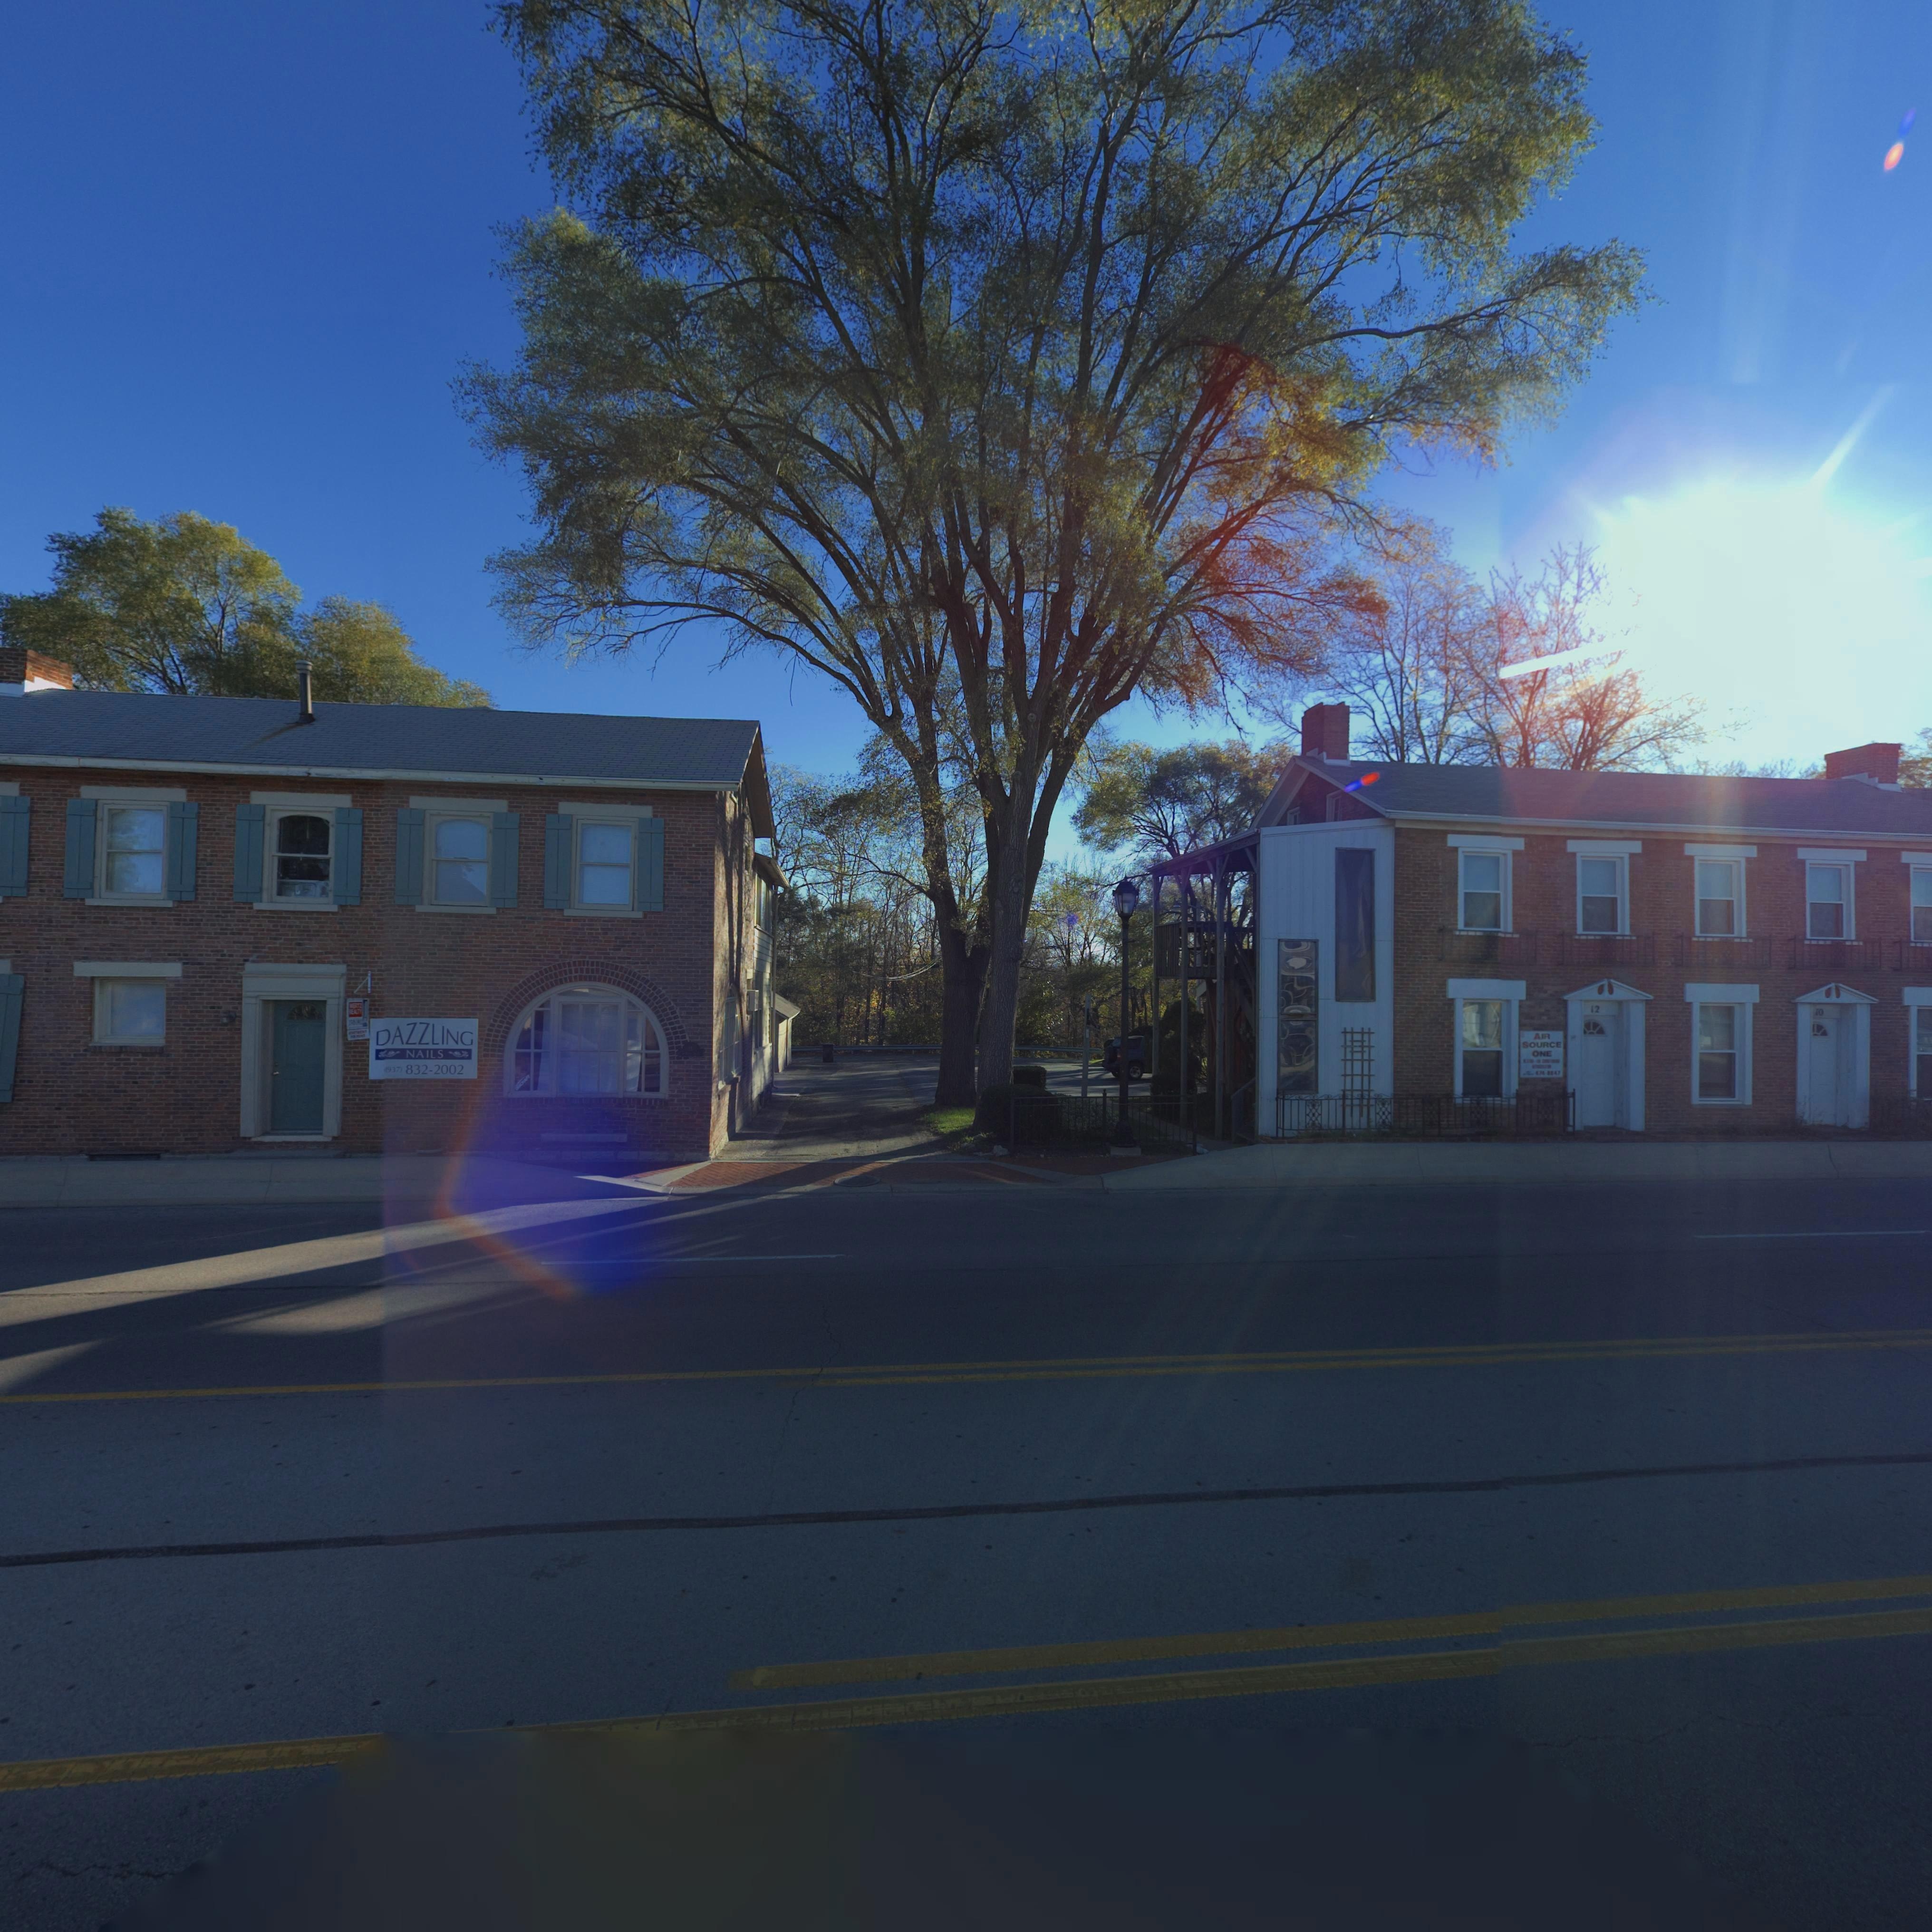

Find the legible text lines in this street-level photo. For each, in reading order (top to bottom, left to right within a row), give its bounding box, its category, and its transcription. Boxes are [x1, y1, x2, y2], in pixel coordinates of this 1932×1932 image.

[1590, 1005, 1601, 1014] StreetNumber: 12
[1815, 1007, 1825, 1017] StreetNumber: 10
[374, 1020, 476, 1048] None: DAZZLING
[1533, 1032, 1551, 1040] None: AIR
[1521, 1041, 1562, 1050] None: SOURCE
[404, 1048, 444, 1061] None: NAILS
[1530, 1050, 1554, 1057] None: ONE
[383, 1064, 465, 1076] None: (937) 832-2002